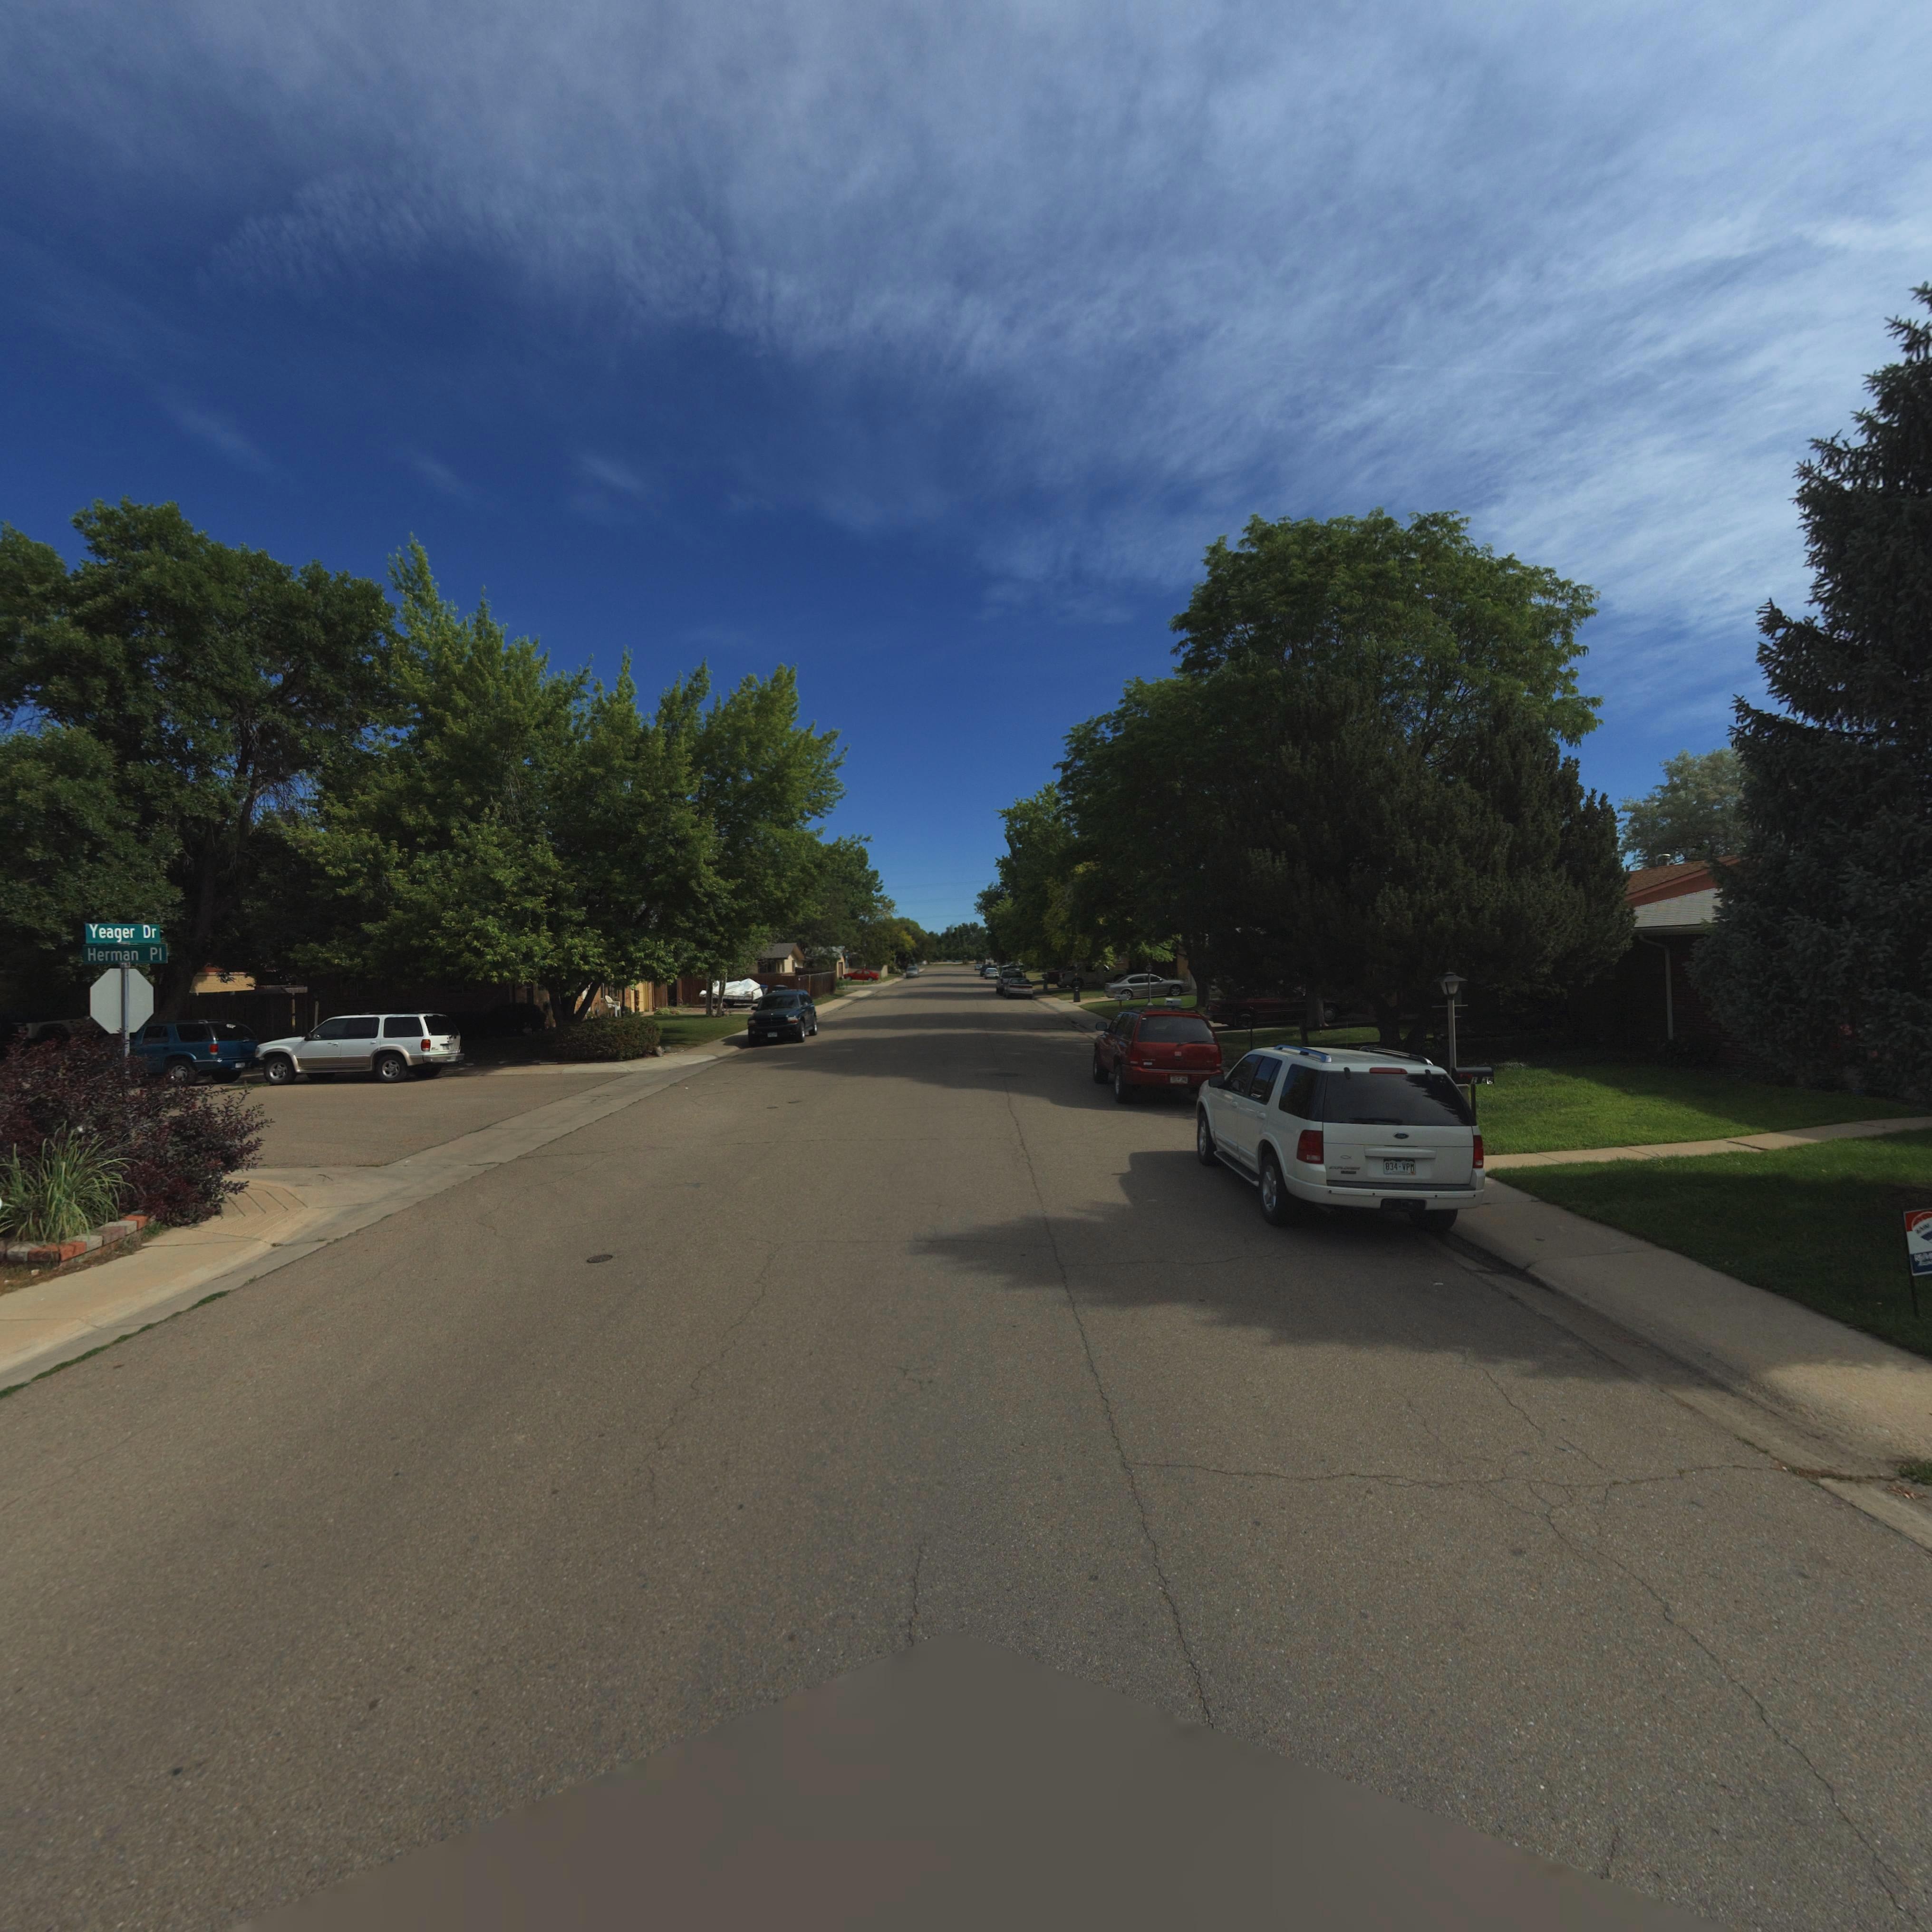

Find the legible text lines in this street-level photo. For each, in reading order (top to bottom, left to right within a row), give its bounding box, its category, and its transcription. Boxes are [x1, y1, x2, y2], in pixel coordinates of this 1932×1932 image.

[87, 923, 157, 943] StreetName: Yeager Dr
[87, 946, 163, 961] StreetName: Herman Pl
[1470, 1077, 1493, 1084] None: 1*36